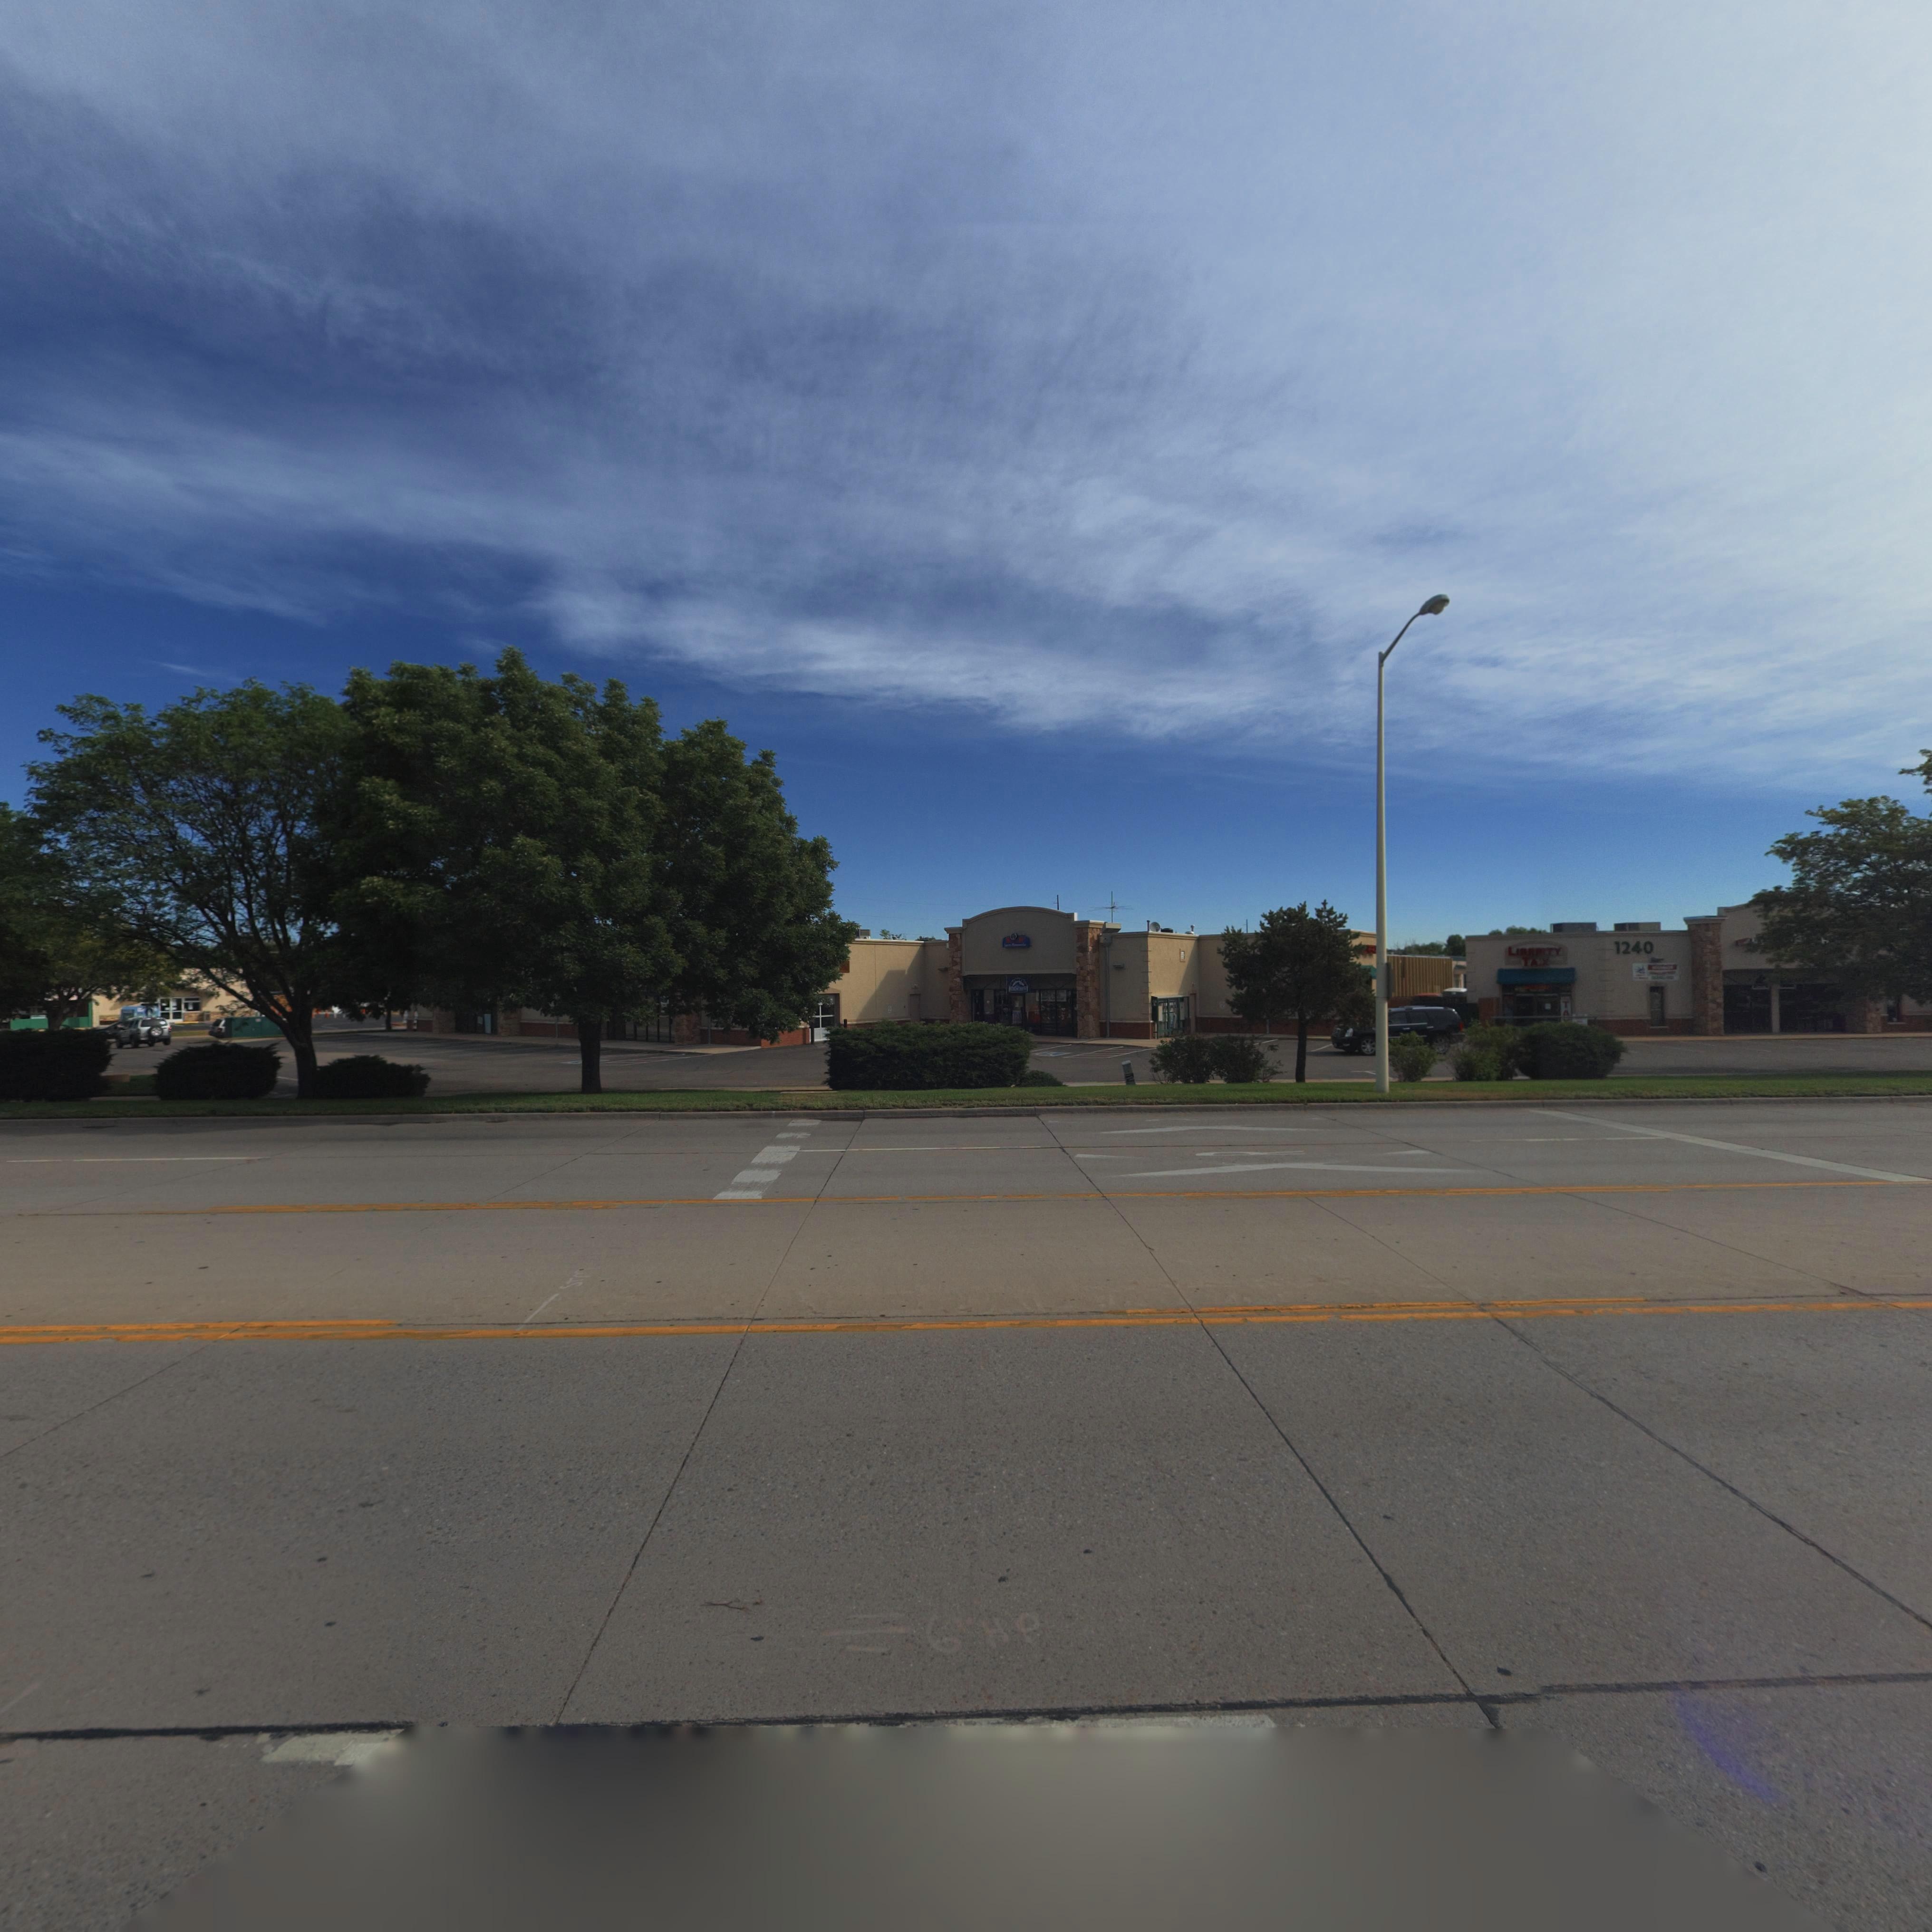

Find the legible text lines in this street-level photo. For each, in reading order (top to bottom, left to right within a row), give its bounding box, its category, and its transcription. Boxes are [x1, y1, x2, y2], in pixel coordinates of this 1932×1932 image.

[1507, 946, 1561, 956] BusinessName: LIBERTY
[1614, 941, 1653, 954] StreetNumber: 1240
[1522, 956, 1550, 966] BusinessName: TAX